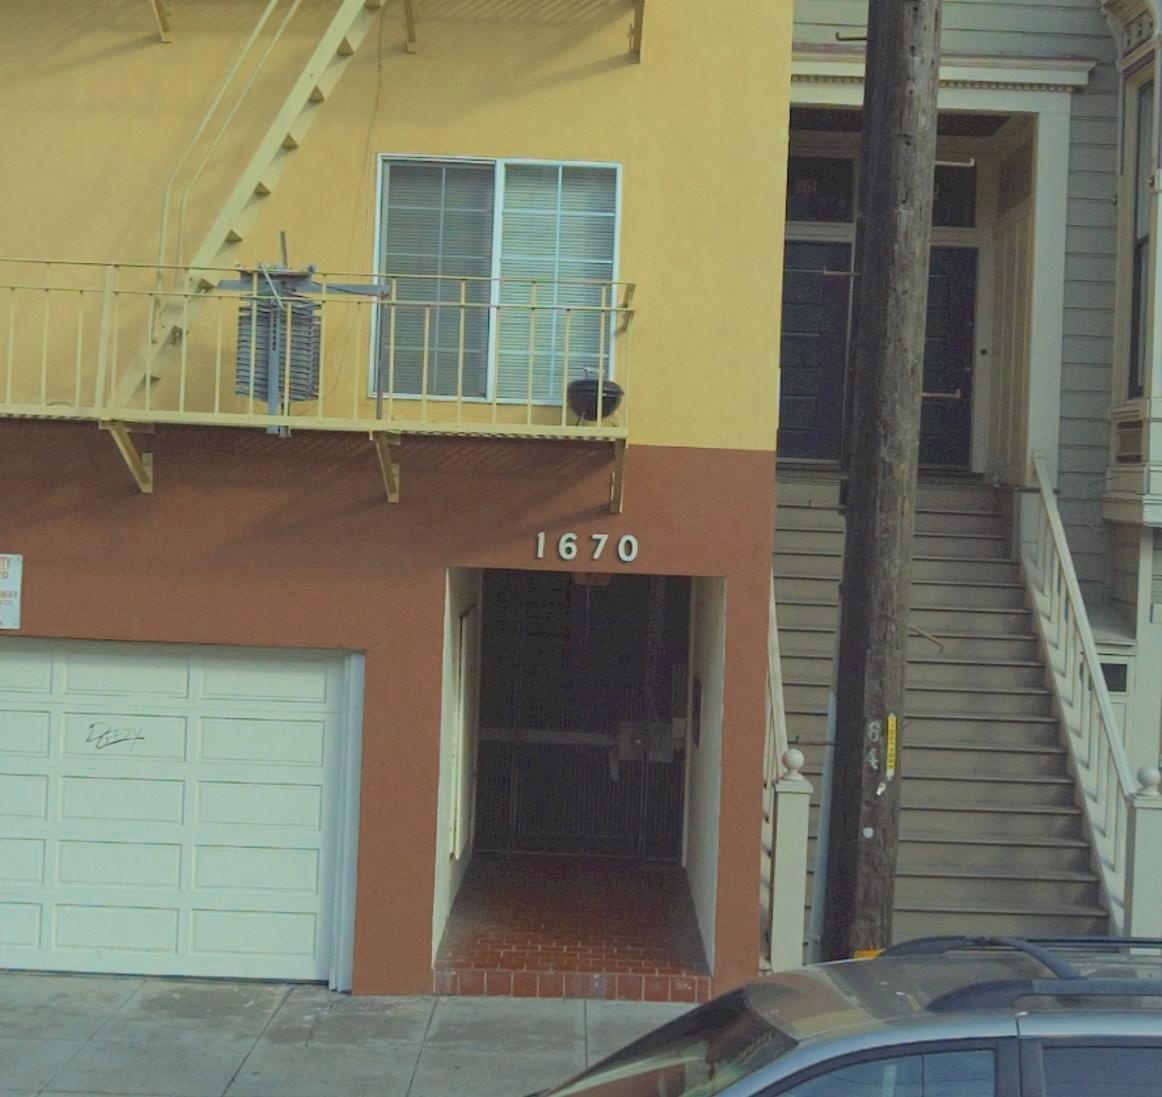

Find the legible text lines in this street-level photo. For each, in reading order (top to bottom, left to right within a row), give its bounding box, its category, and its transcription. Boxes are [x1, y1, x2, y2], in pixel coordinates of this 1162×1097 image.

[533, 528, 641, 565] StreetNumber: 1670
[862, 717, 883, 774] None: 64